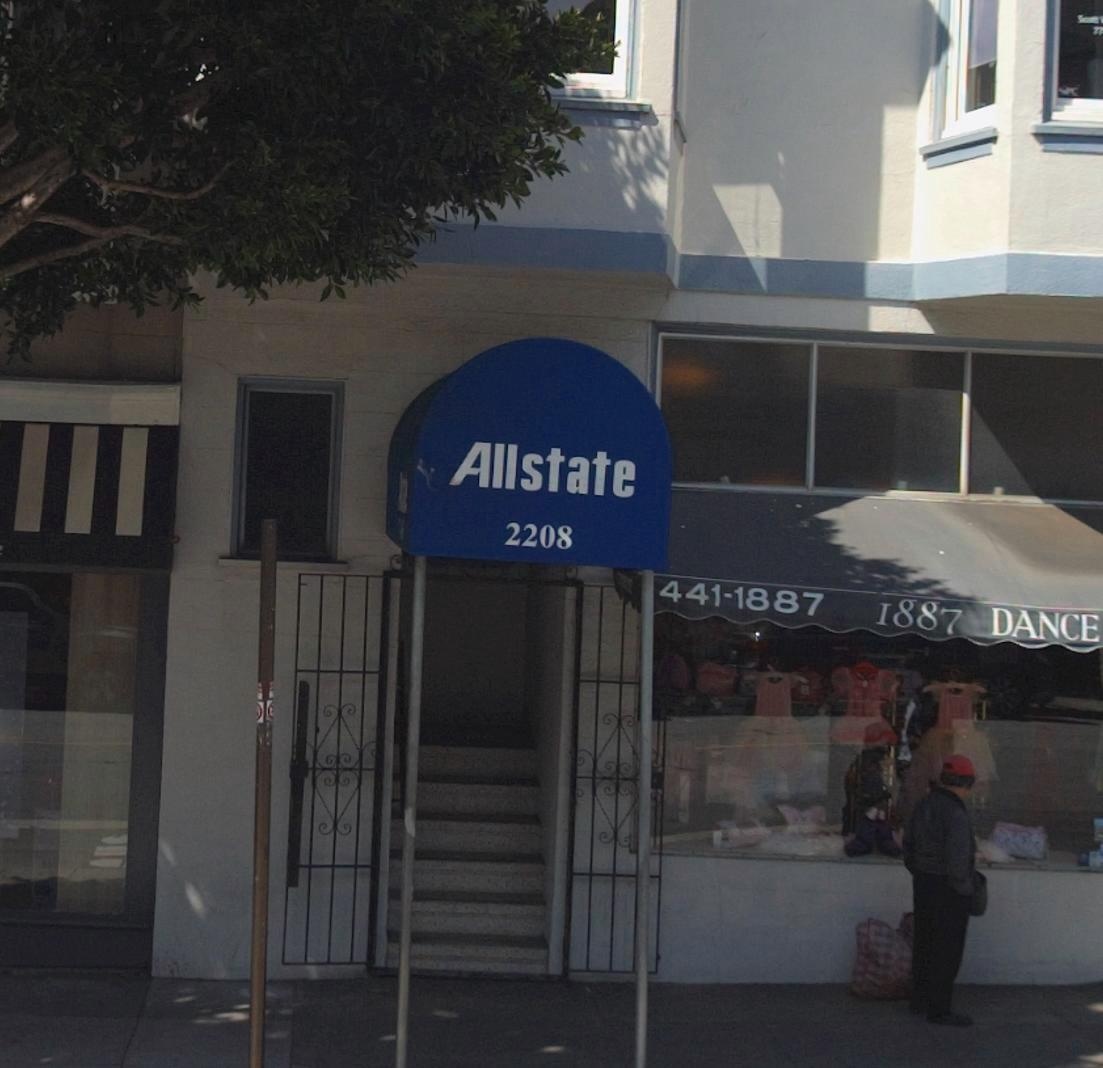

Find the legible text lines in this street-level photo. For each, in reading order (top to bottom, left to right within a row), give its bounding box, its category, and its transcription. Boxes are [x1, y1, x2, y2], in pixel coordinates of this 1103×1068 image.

[446, 440, 636, 499] BusinessName: Allstate
[503, 521, 573, 550] StreetNumber: 2208
[658, 579, 826, 617] None: 441-1887
[874, 598, 966, 635] StreetNumber: 1887
[991, 607, 1100, 643] BusinessName: DANCE